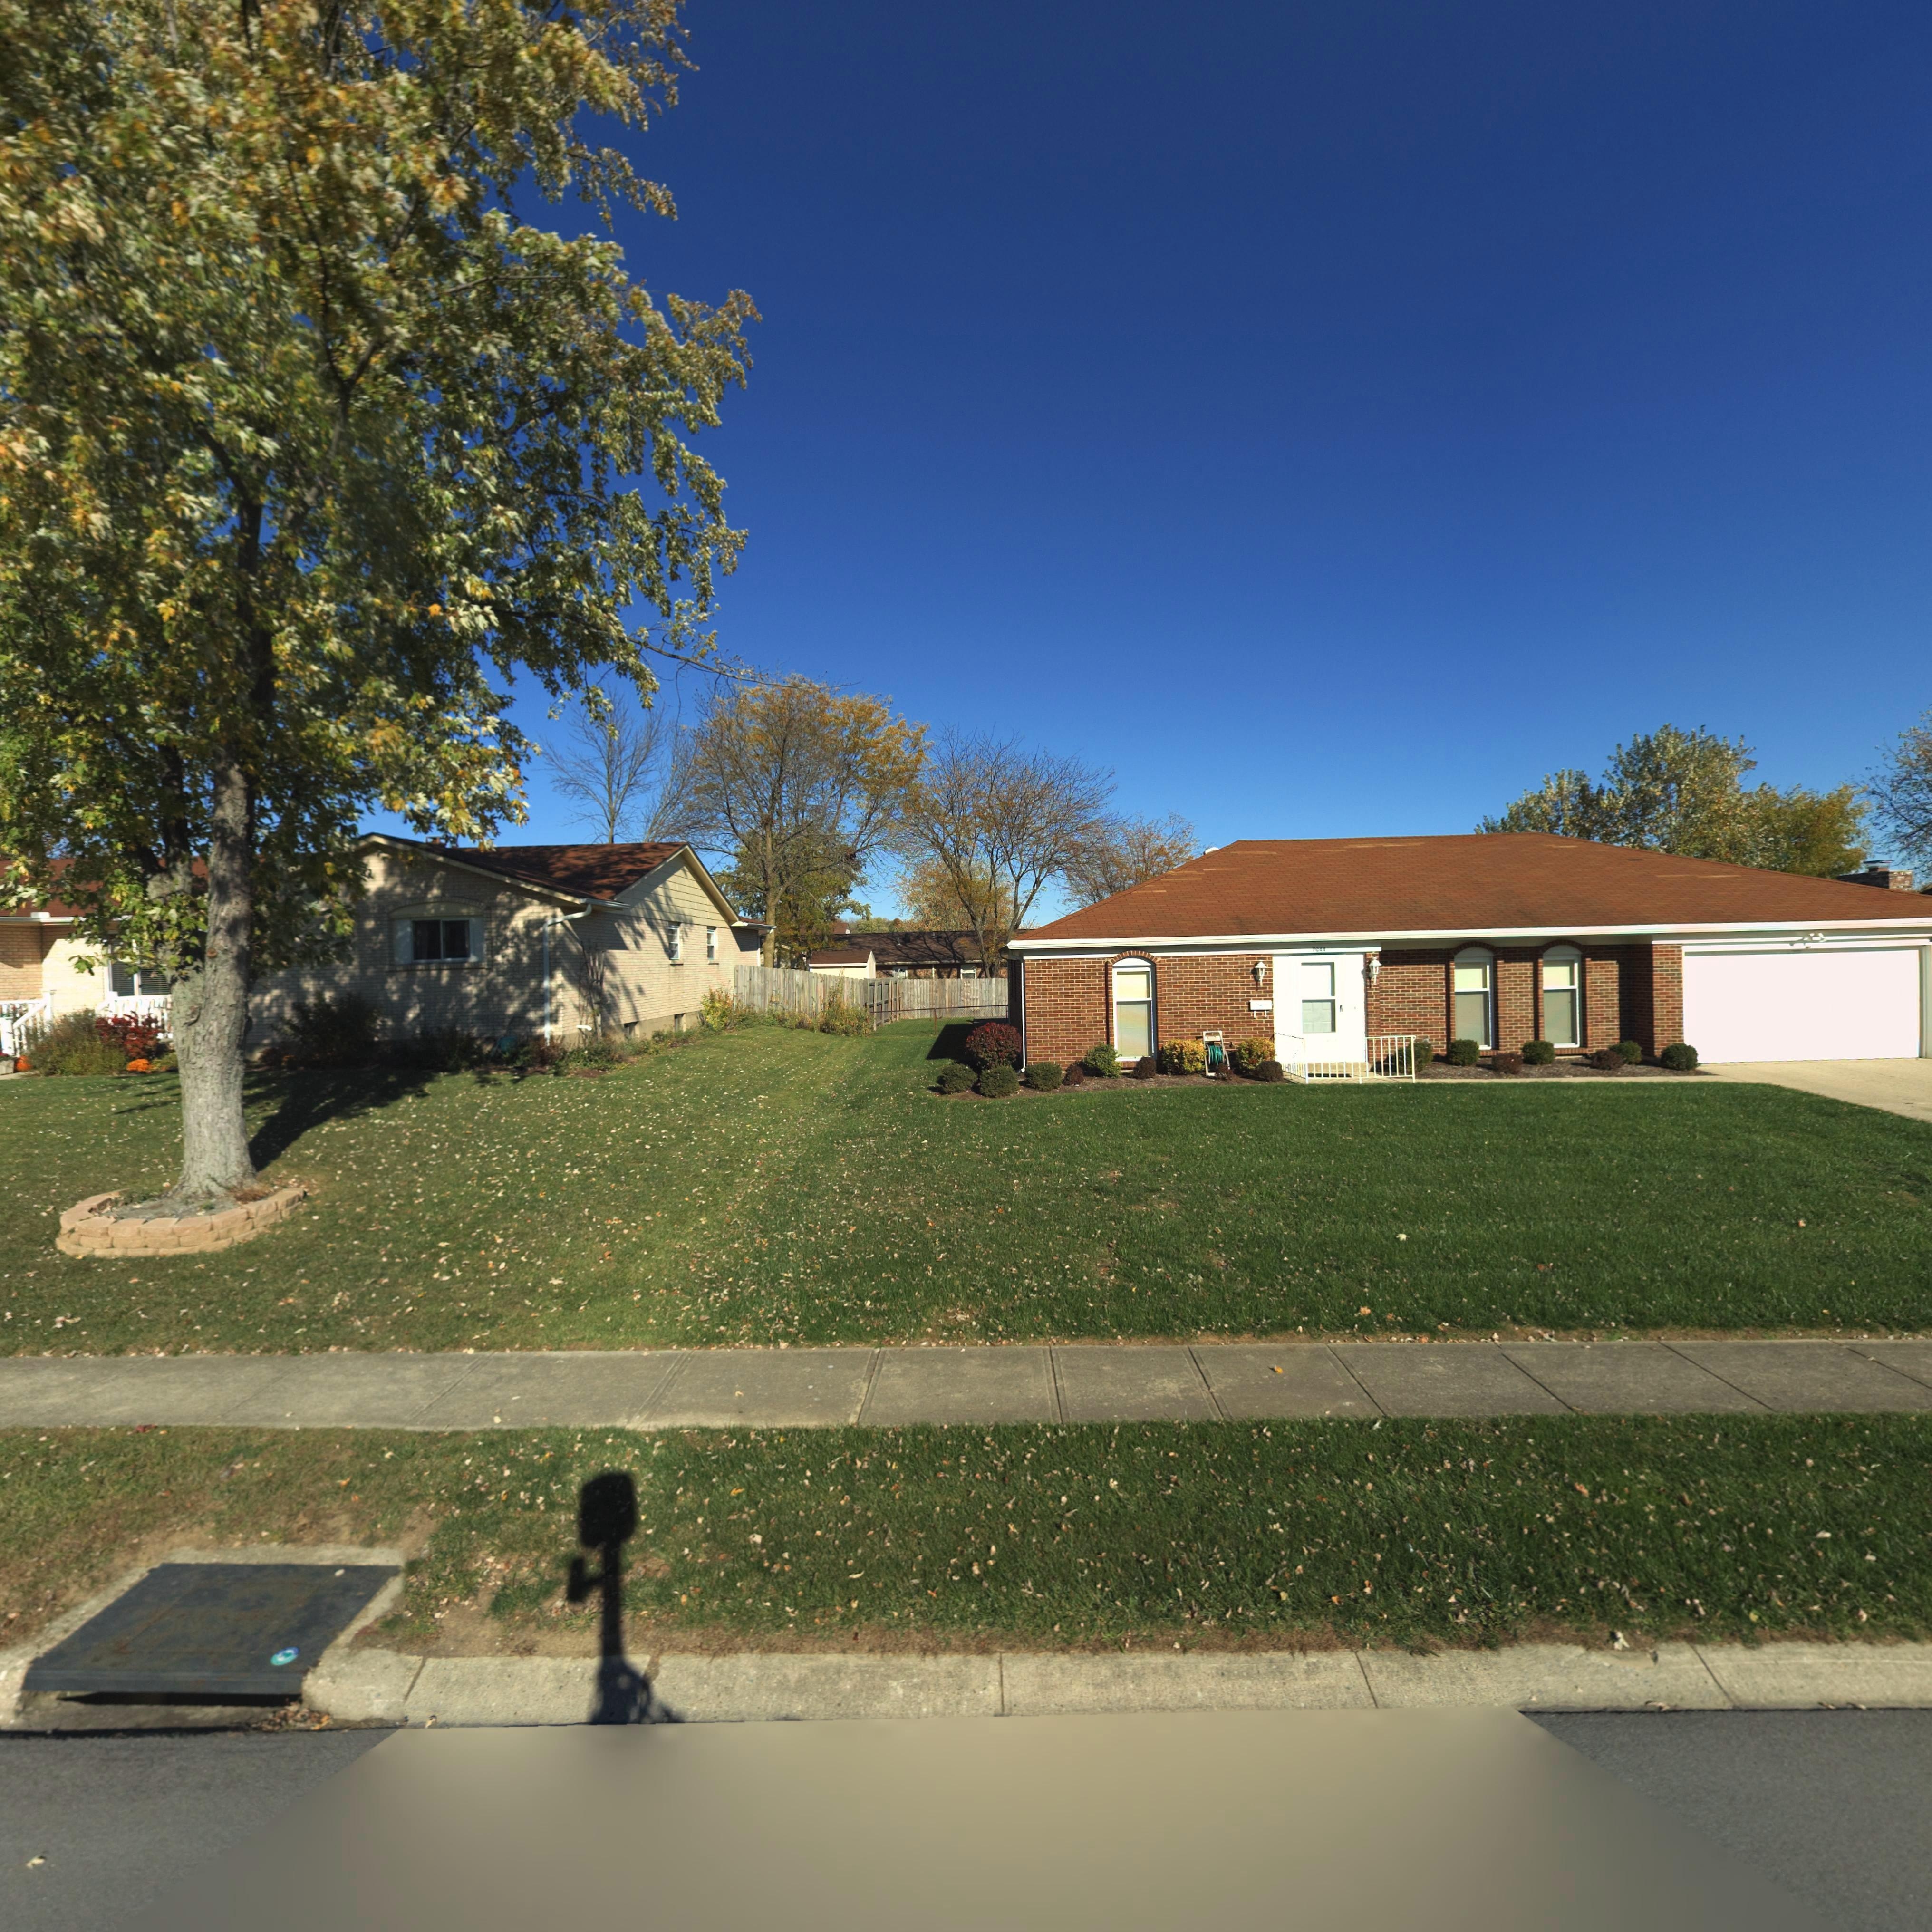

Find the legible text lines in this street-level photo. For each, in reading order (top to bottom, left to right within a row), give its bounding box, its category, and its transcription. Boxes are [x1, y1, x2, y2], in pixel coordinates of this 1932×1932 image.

[1311, 947, 1326, 952] StreetNumber: 7044